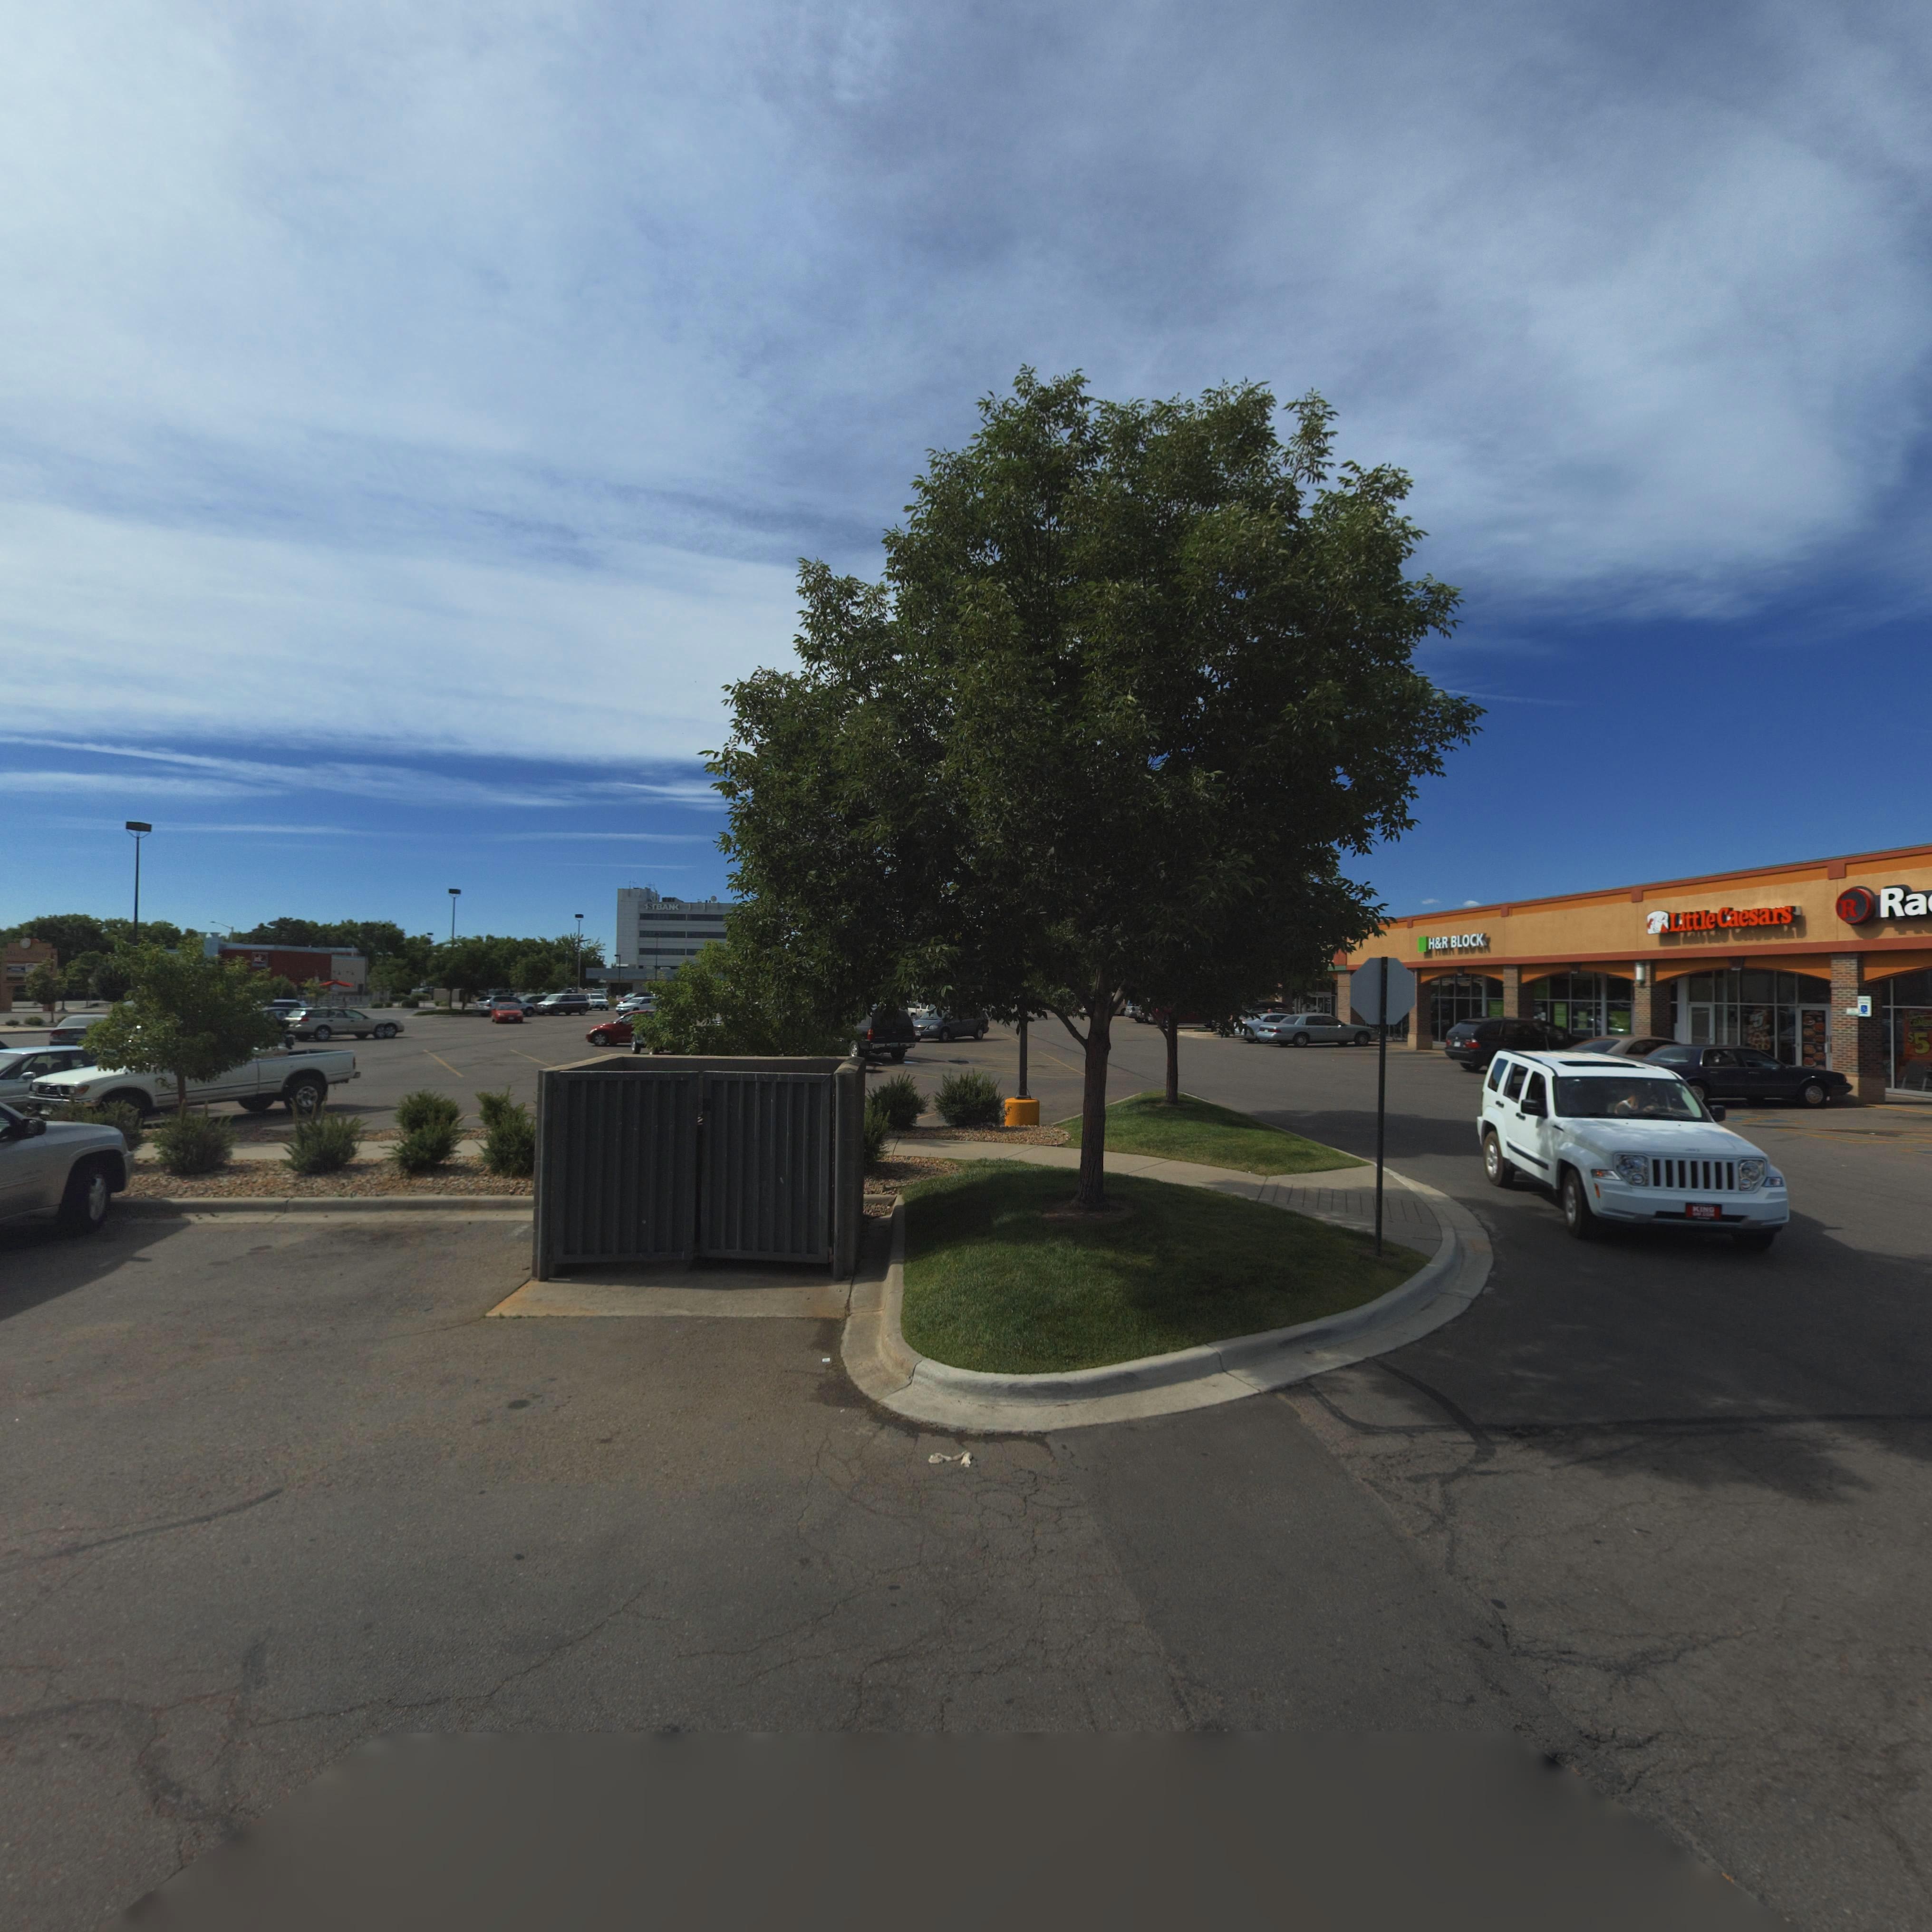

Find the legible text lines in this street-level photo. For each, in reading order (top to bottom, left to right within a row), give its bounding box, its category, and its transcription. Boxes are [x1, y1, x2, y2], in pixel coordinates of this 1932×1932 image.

[644, 903, 679, 910] BusinessName: 1S*BAN*
[1879, 887, 1927, 918] BusinessName: Ra
[1668, 905, 1794, 933] StreetNumber: Little Caesars
[1428, 932, 1485, 950] BusinessName: H&R BLOCK
[251, 954, 264, 963] BusinessName: Jack